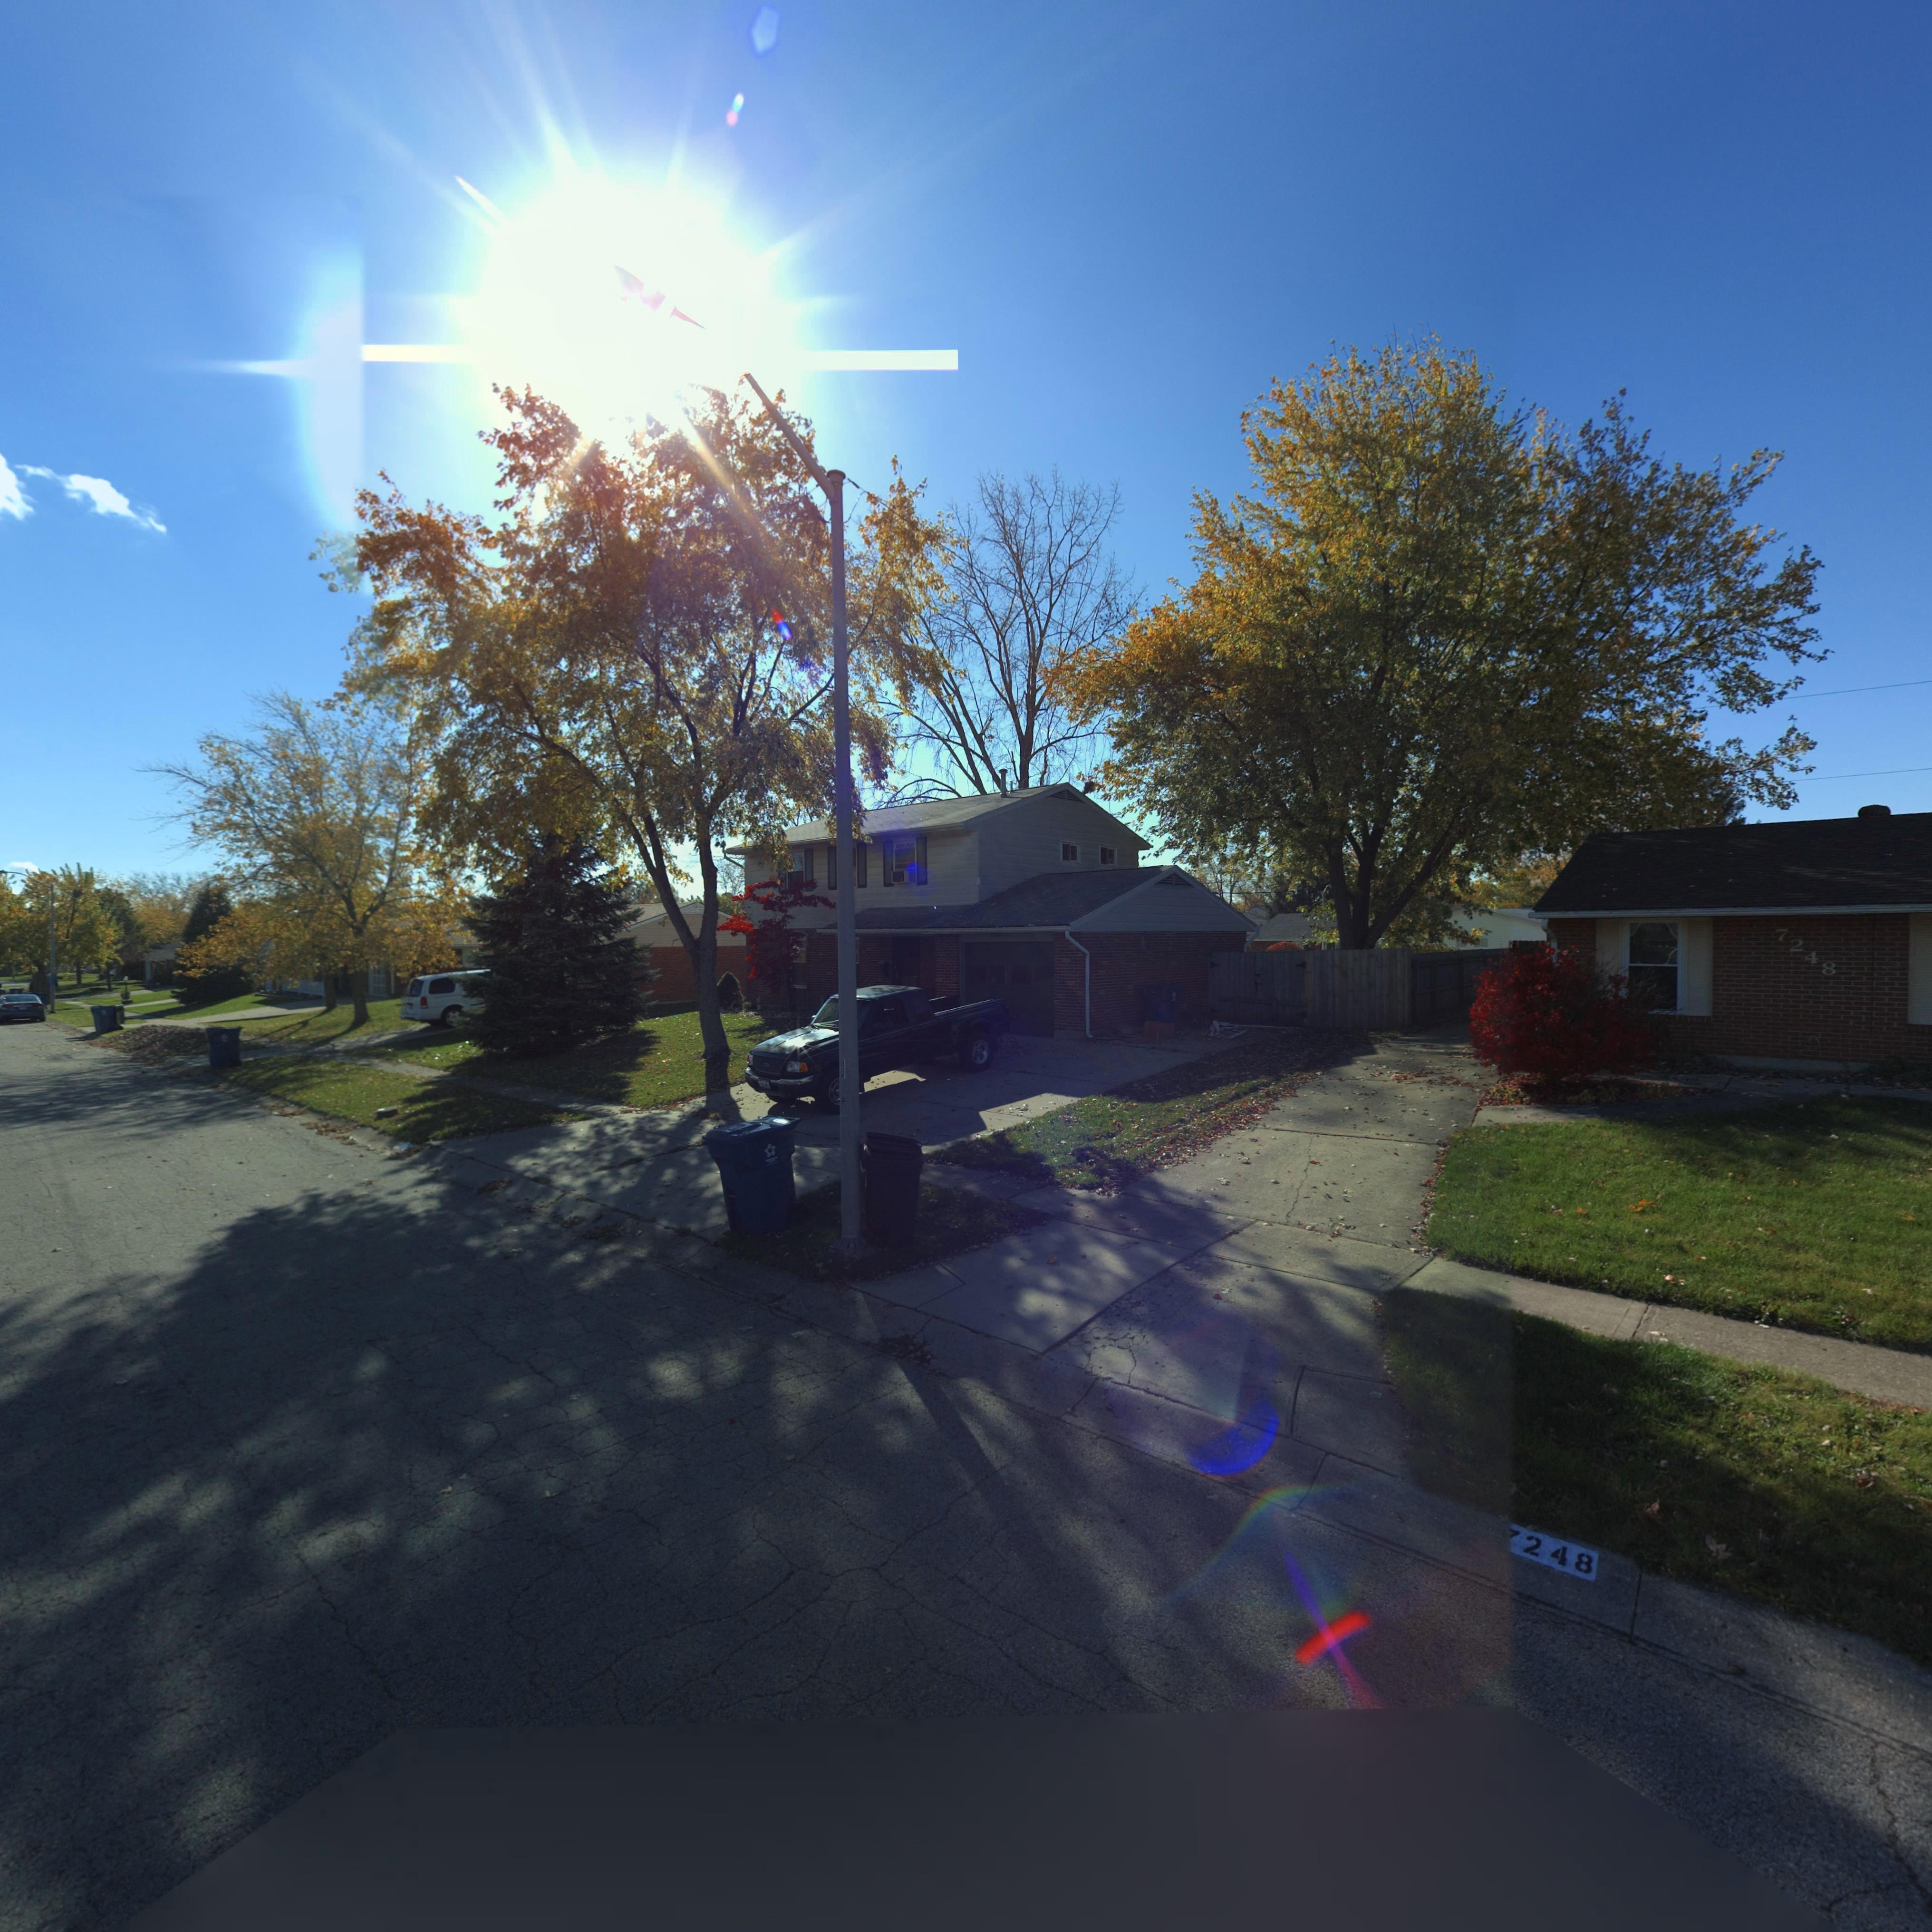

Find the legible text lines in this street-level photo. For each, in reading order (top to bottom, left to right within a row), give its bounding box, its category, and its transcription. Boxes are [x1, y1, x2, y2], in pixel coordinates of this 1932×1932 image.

[1774, 927, 1837, 977] StreetNumber: 7248
[1520, 1533, 1595, 1578] StreetNumber: 248